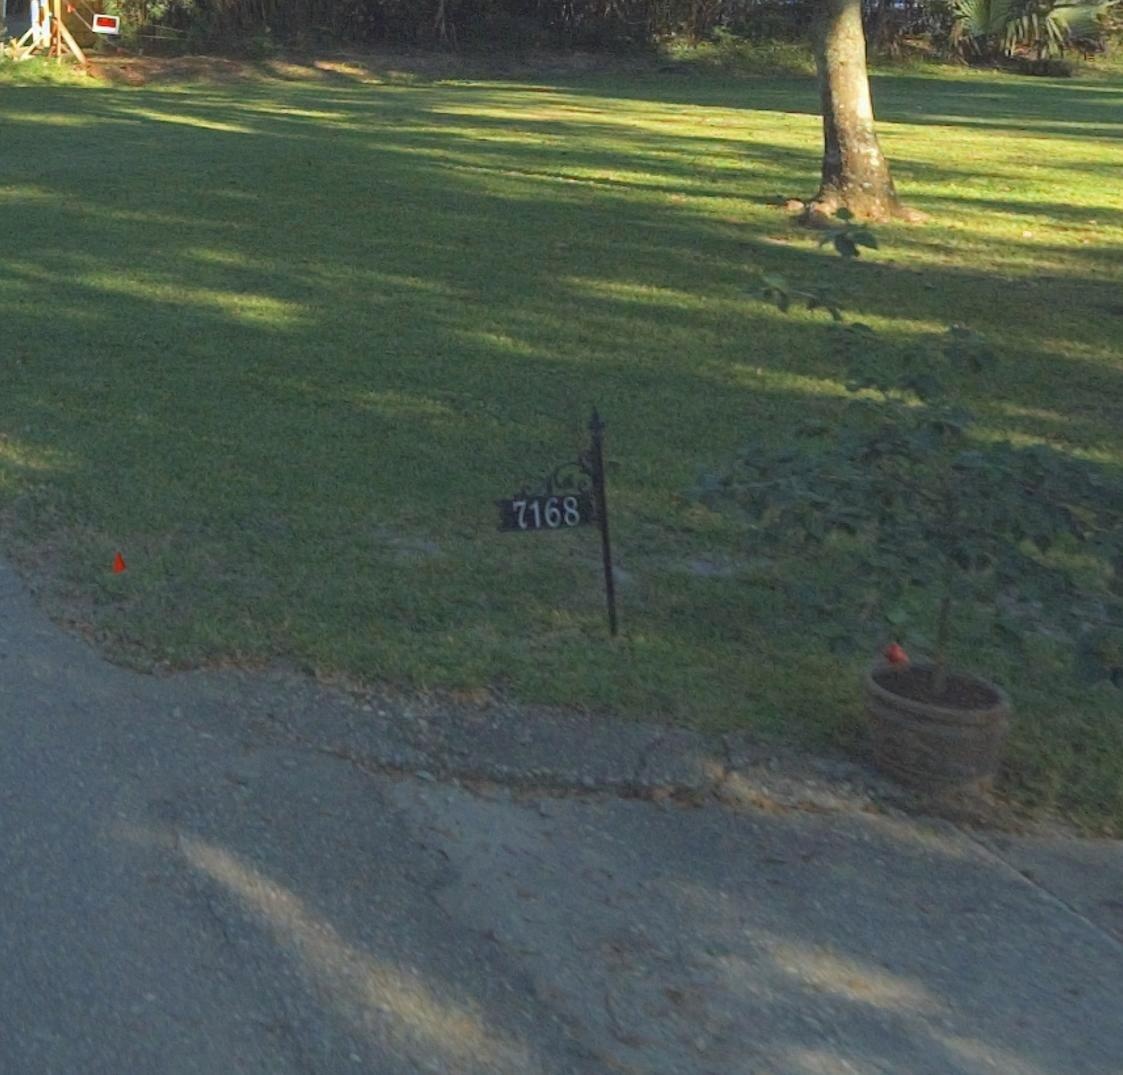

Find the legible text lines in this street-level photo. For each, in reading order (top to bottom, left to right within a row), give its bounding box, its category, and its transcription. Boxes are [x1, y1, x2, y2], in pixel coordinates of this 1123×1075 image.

[509, 493, 583, 532] StreetNumber: 7168